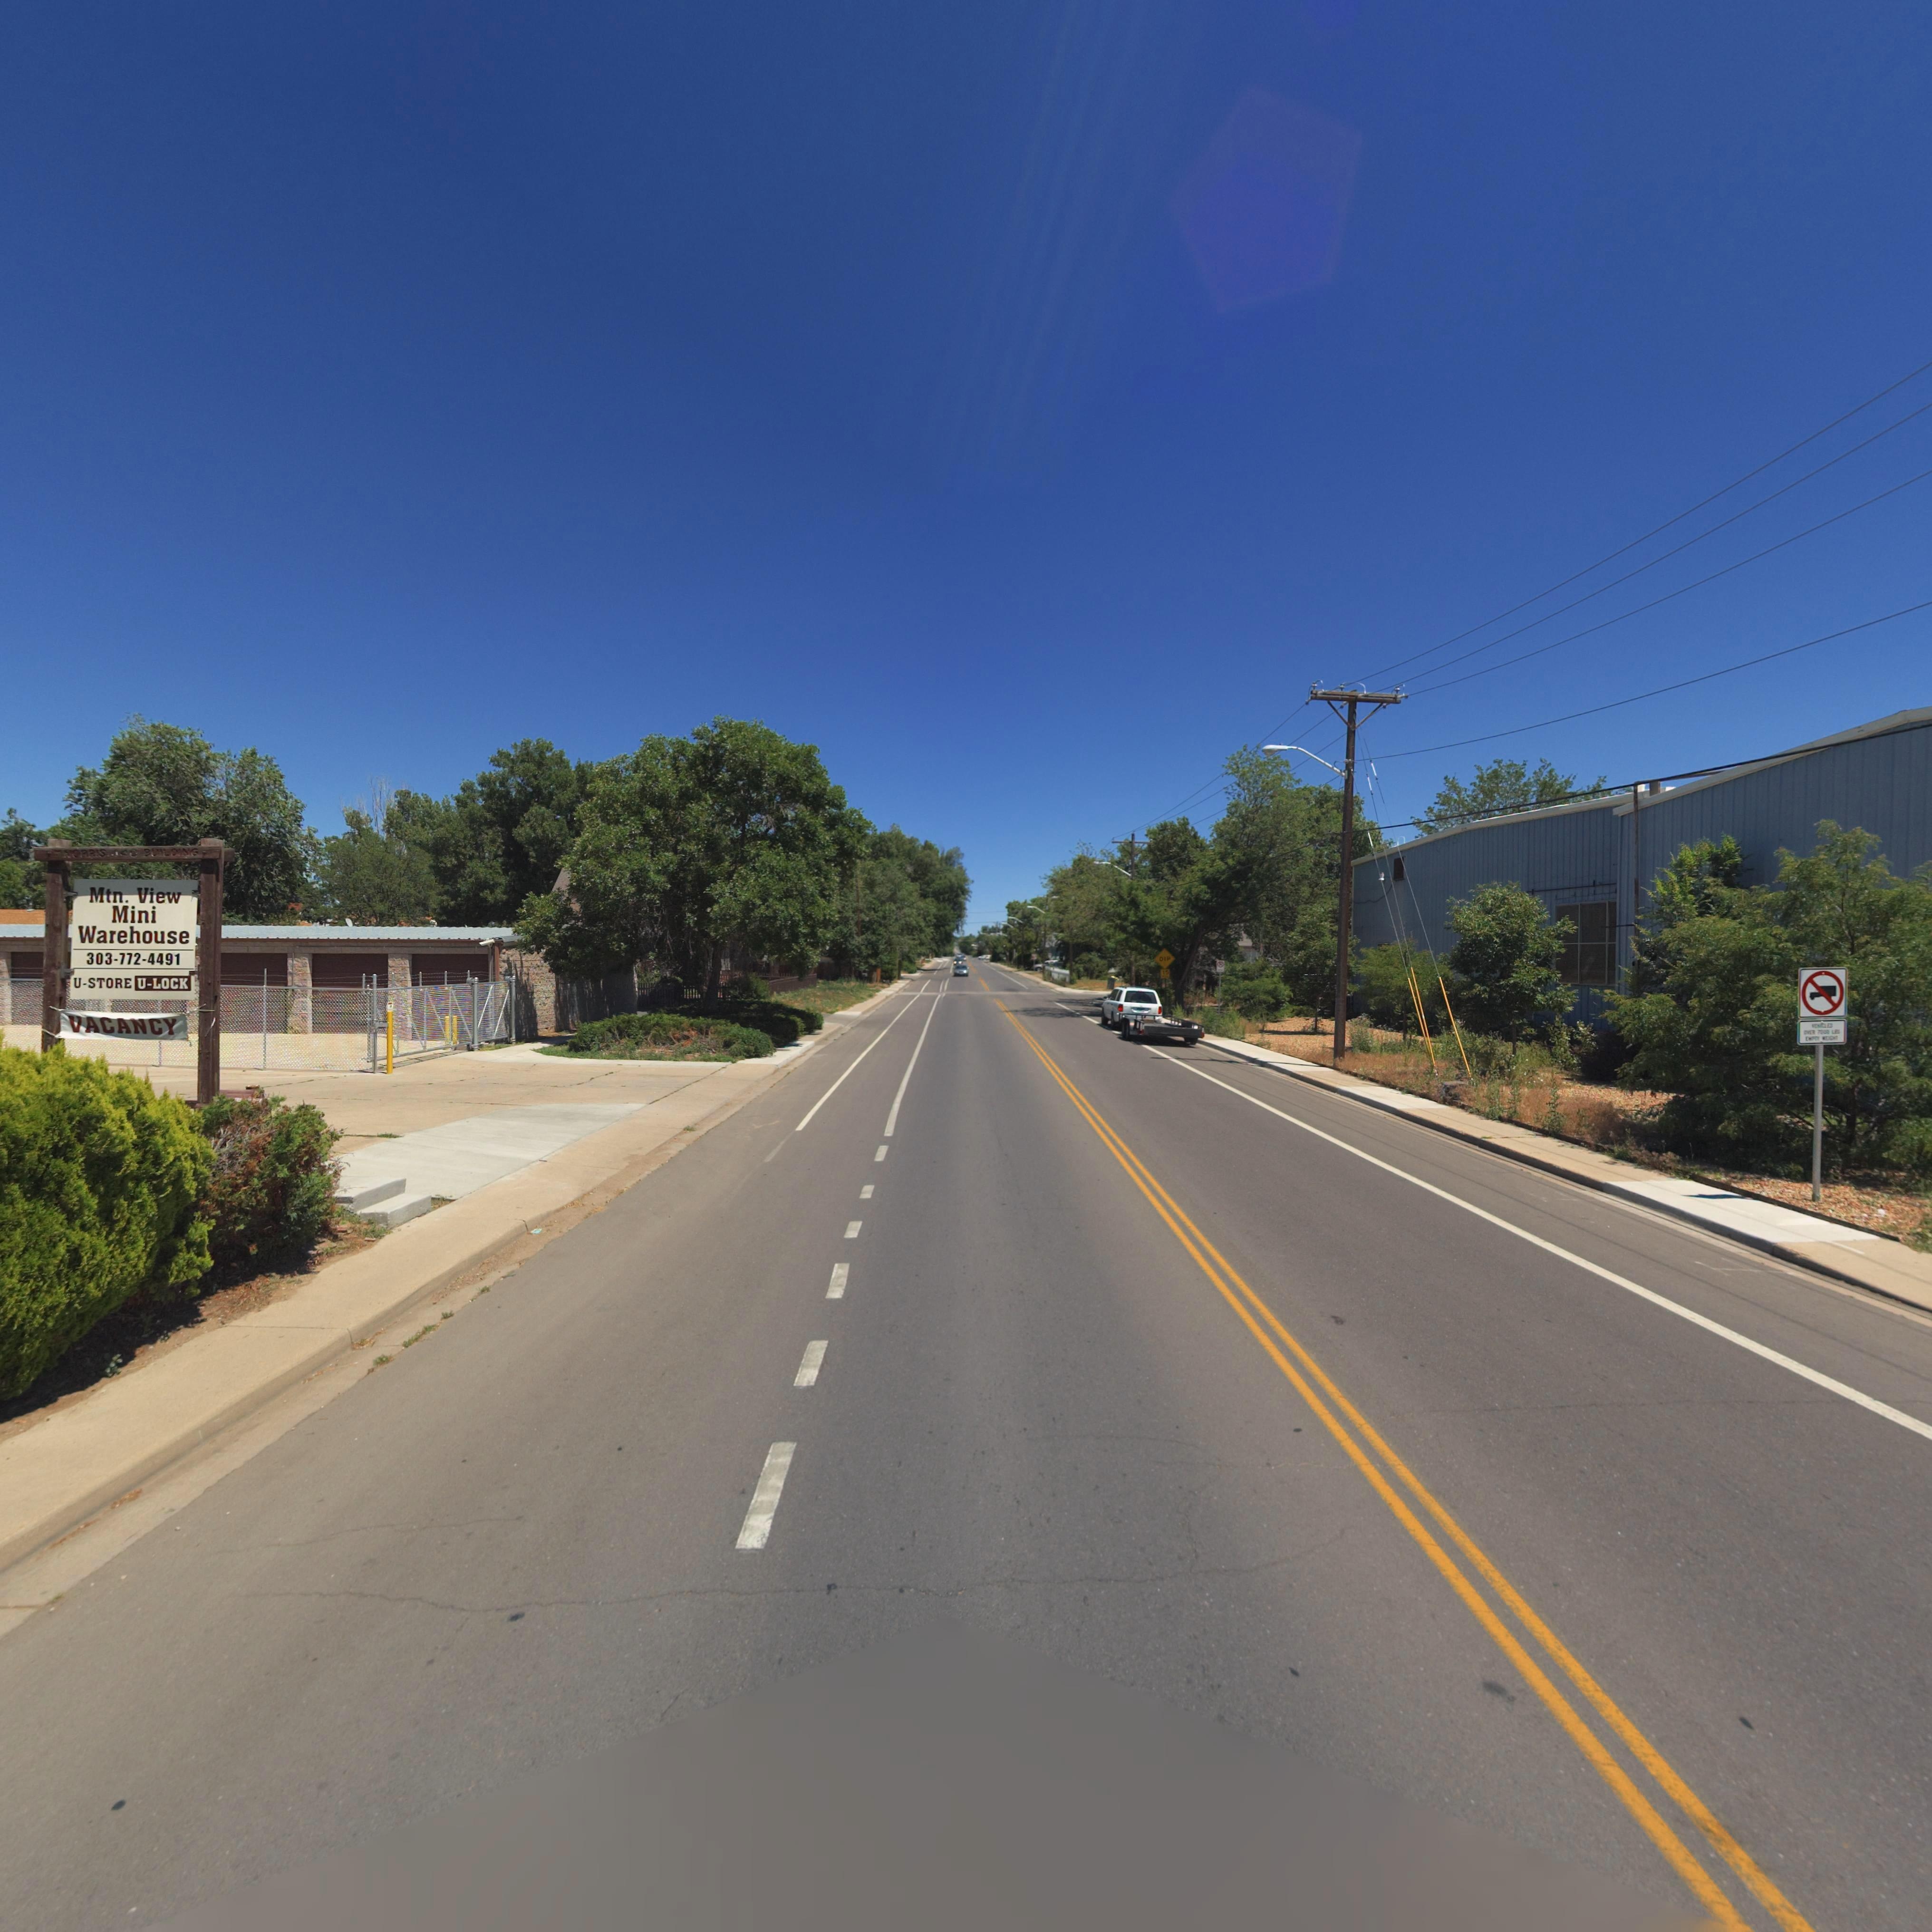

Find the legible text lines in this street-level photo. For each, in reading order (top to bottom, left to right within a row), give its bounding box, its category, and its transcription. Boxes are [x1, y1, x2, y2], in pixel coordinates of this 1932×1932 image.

[110, 848, 139, 858] StreetNumber: 440
[88, 886, 182, 904] BusinessName: Mtn. View
[111, 905, 156, 923] BusinessName: Mini
[78, 925, 189, 944] BusinessName: Warehouse